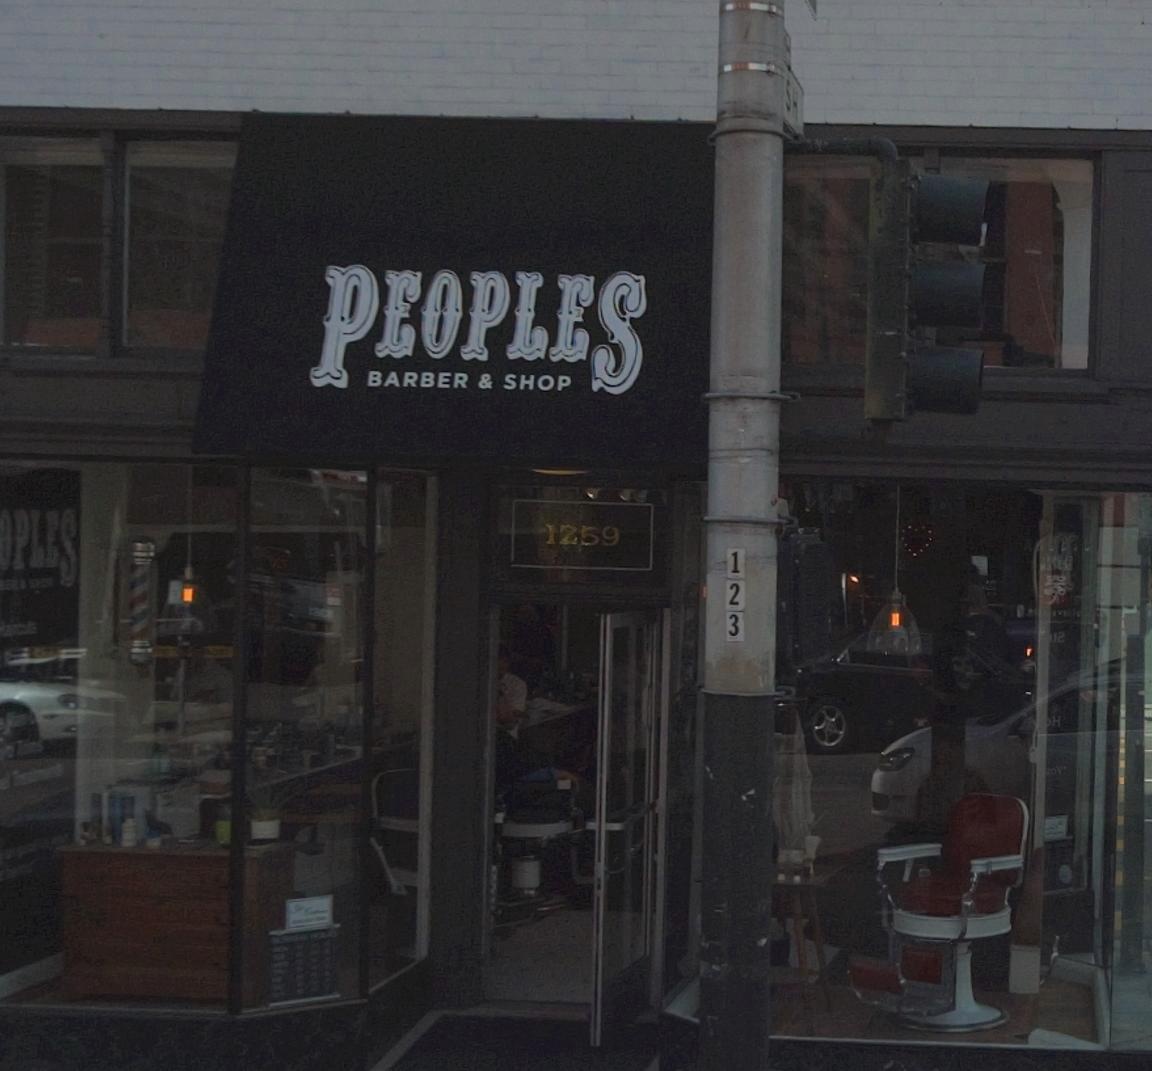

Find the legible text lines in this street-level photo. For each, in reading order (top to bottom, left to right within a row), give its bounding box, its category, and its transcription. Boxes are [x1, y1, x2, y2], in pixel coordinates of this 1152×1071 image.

[784, 72, 801, 129] None: SH
[307, 263, 649, 398] BusinessName: PEOPLES
[364, 367, 572, 393] None: BARBER & SHOP
[12, 505, 81, 590] None: PLES
[541, 521, 620, 549] StreetNumber: 1259
[726, 550, 742, 638] None: 123